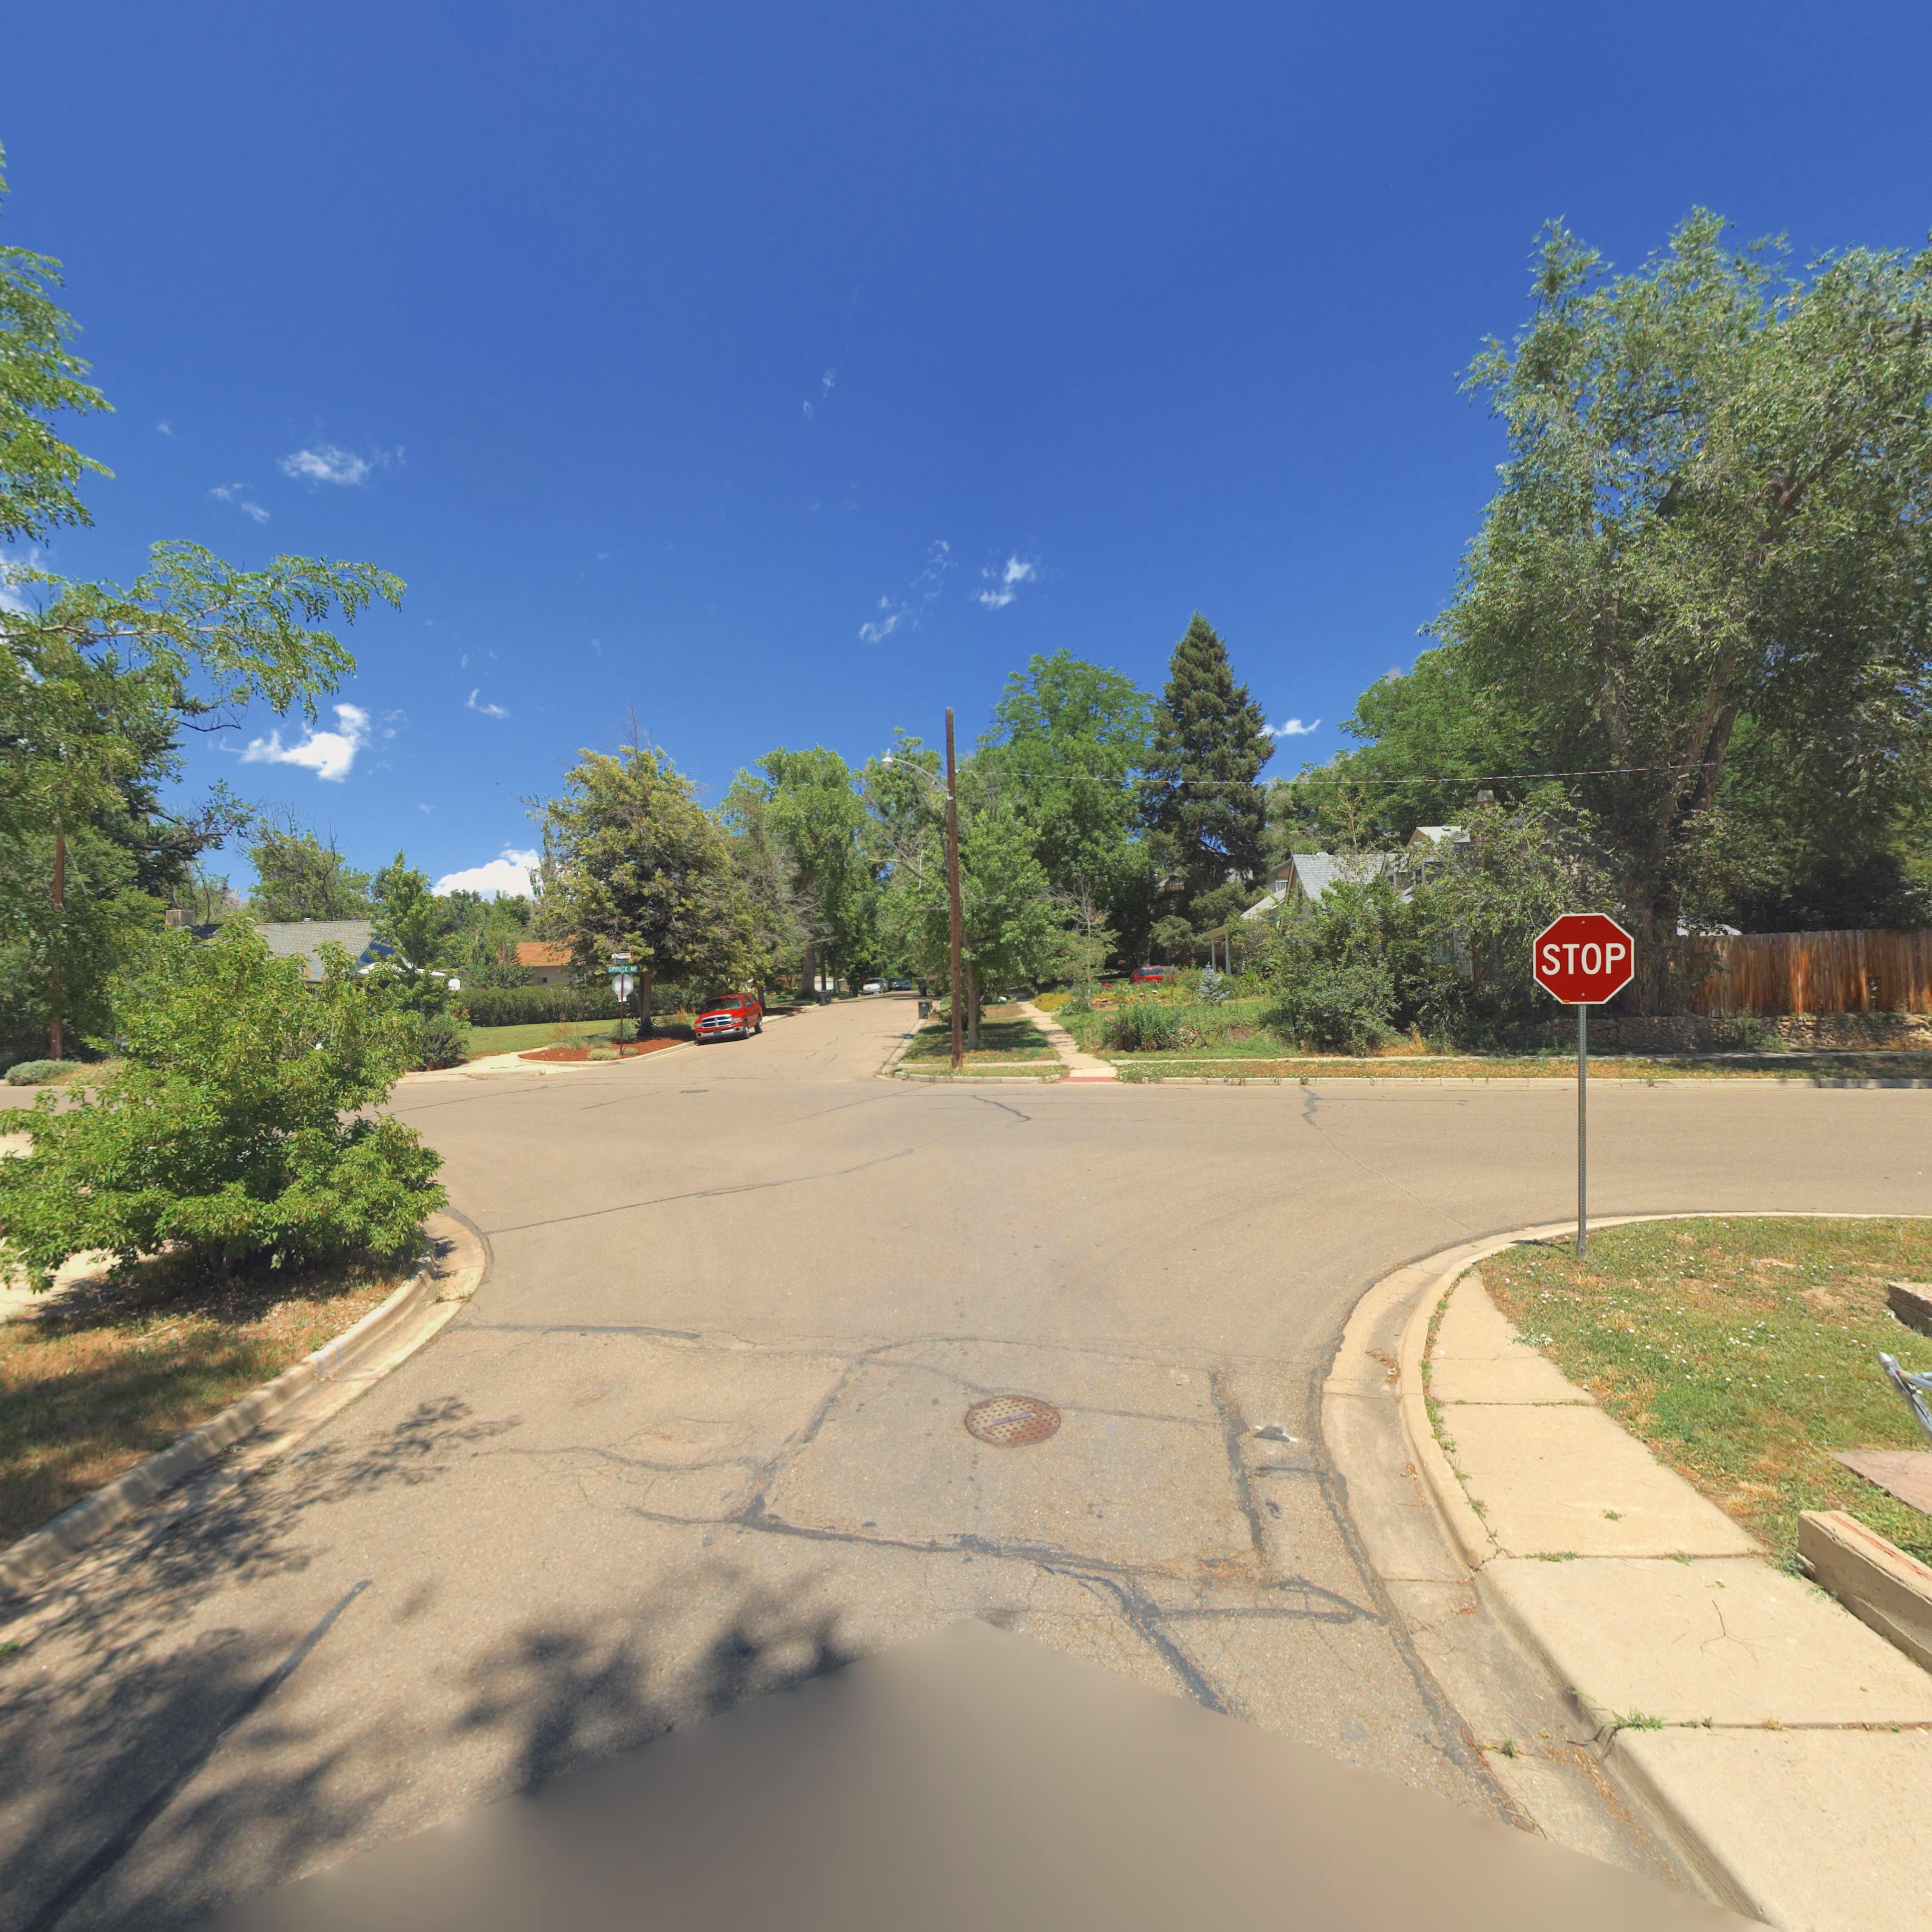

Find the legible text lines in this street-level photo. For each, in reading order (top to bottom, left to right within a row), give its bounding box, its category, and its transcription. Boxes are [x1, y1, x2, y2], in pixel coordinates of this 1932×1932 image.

[615, 959, 628, 965] StreetName: LINCOLIN S*\
[608, 966, 636, 972] StreetName: SPRUCE AV